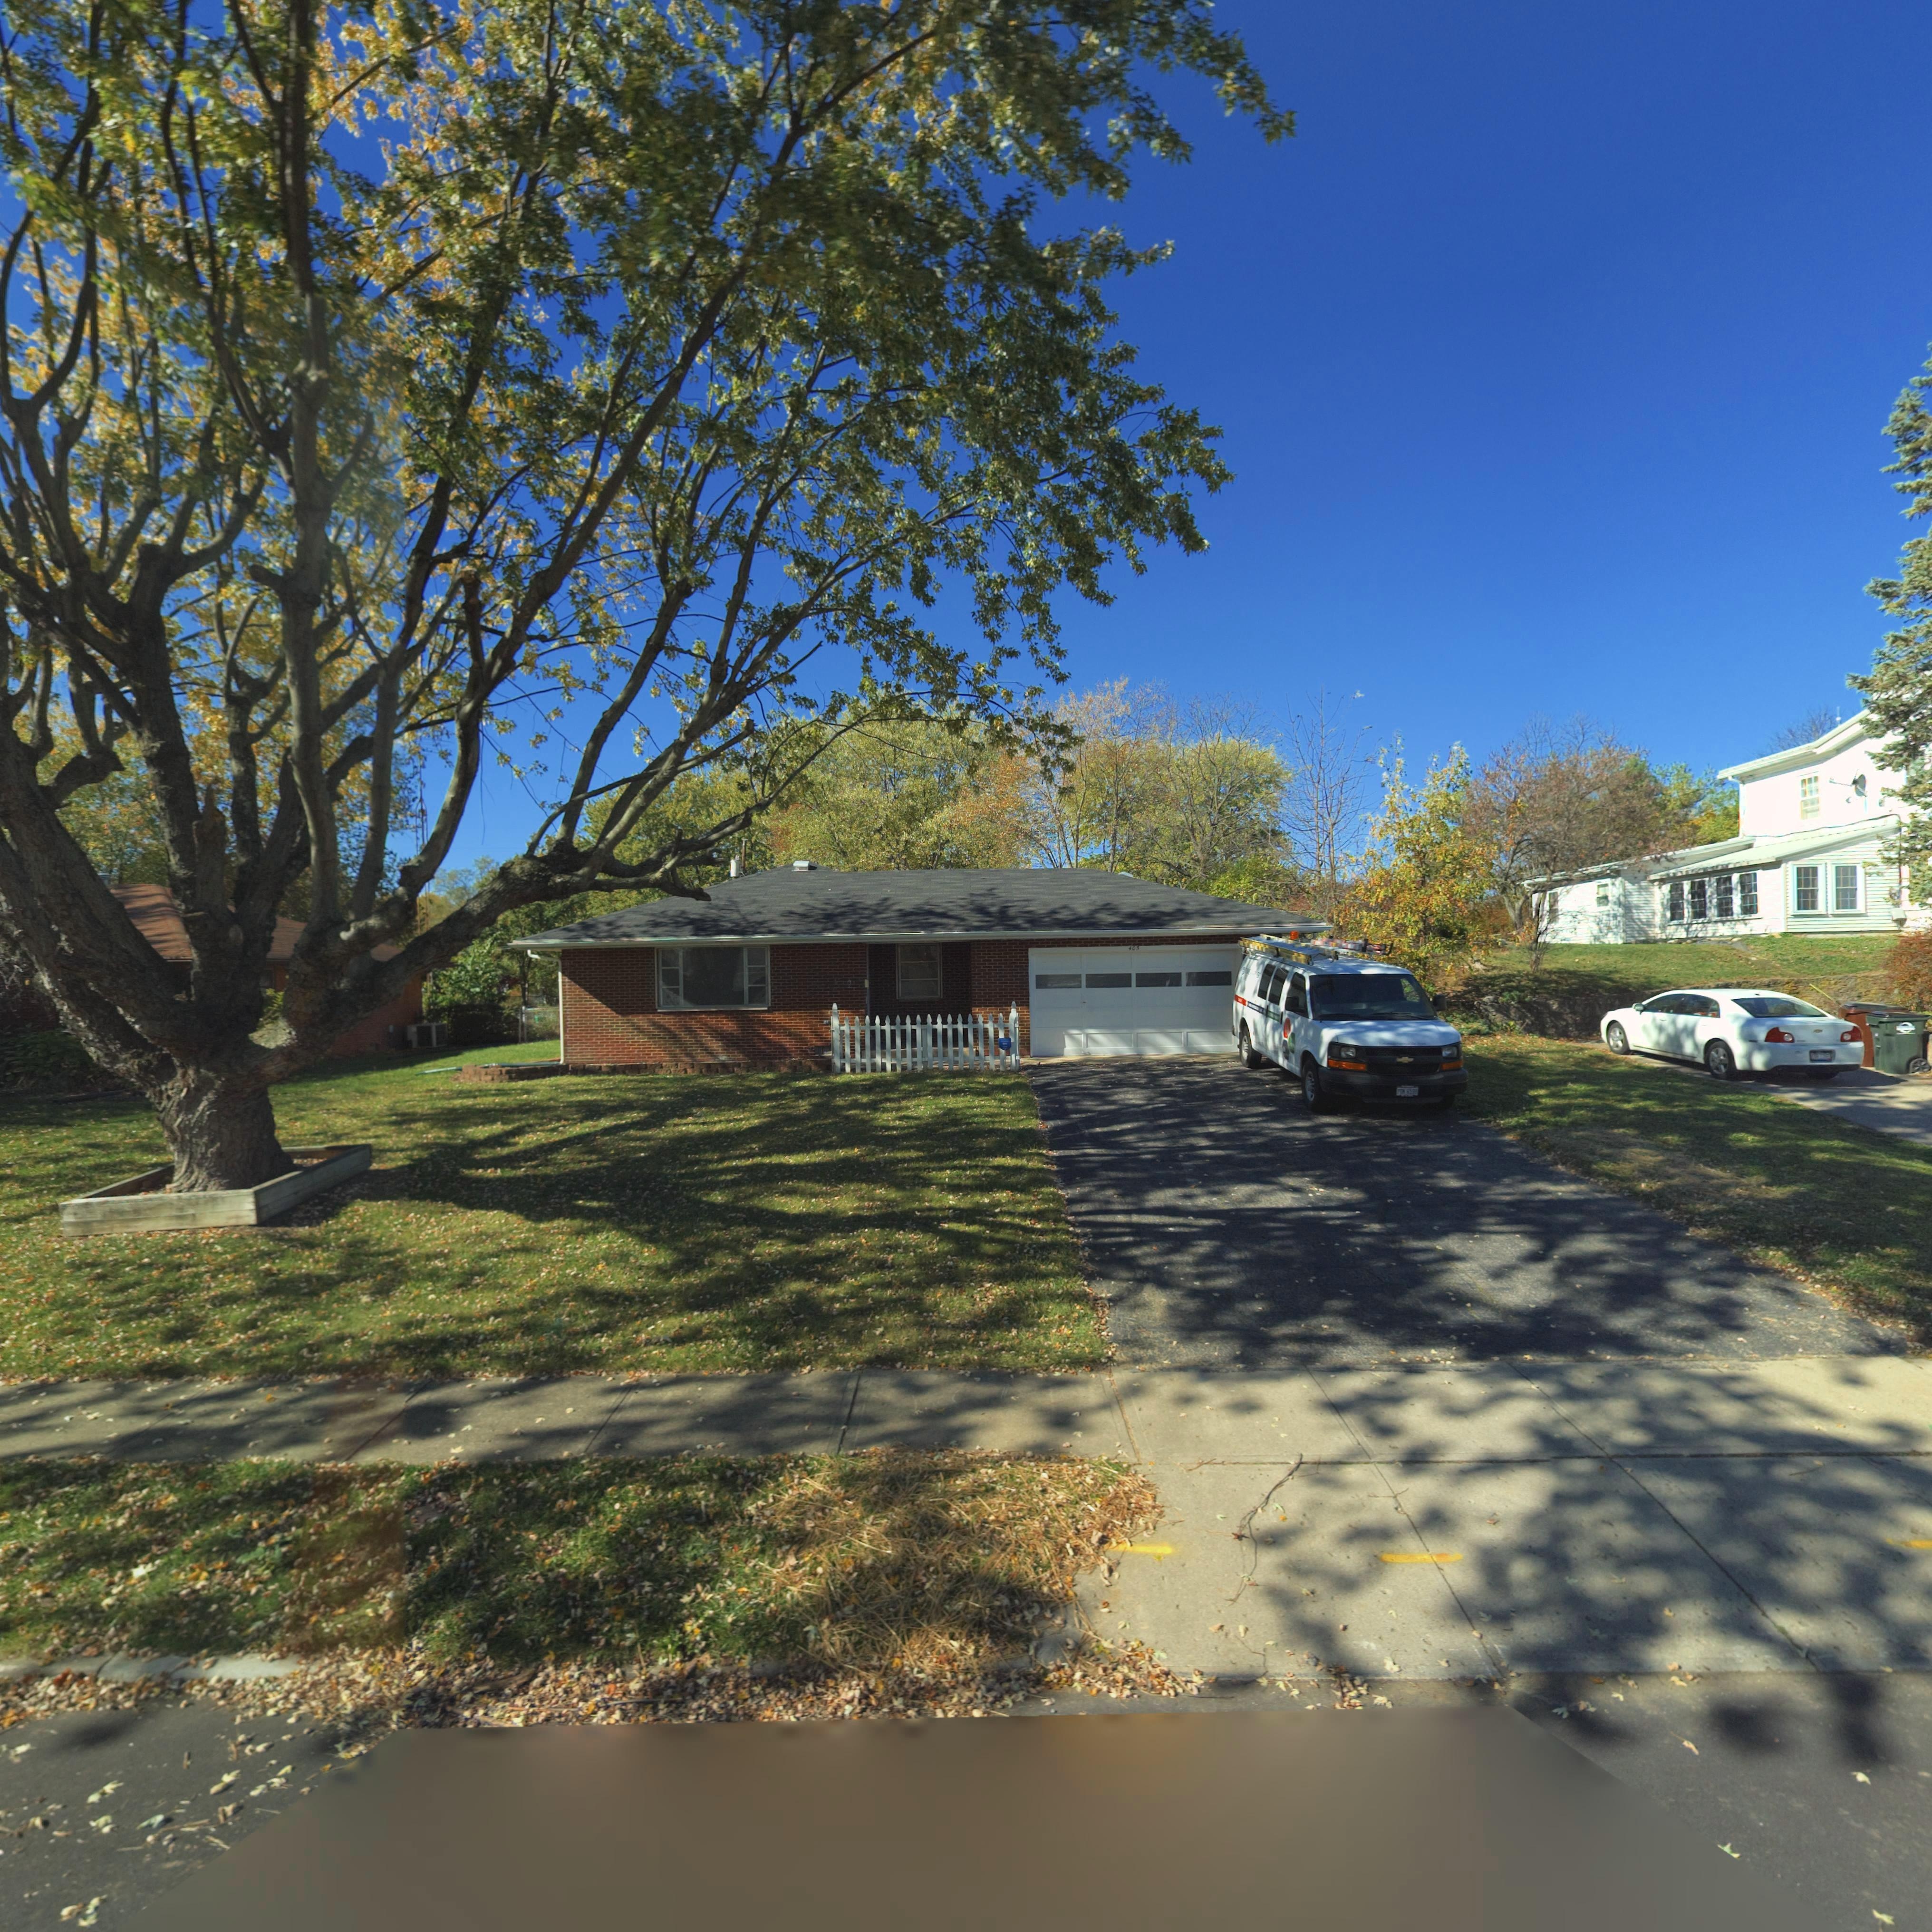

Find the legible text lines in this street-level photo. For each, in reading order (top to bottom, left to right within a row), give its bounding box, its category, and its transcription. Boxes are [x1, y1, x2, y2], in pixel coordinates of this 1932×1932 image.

[1128, 946, 1140, 951] StreetNumber: 403
[1406, 1088, 1418, 1094] None: 65*8